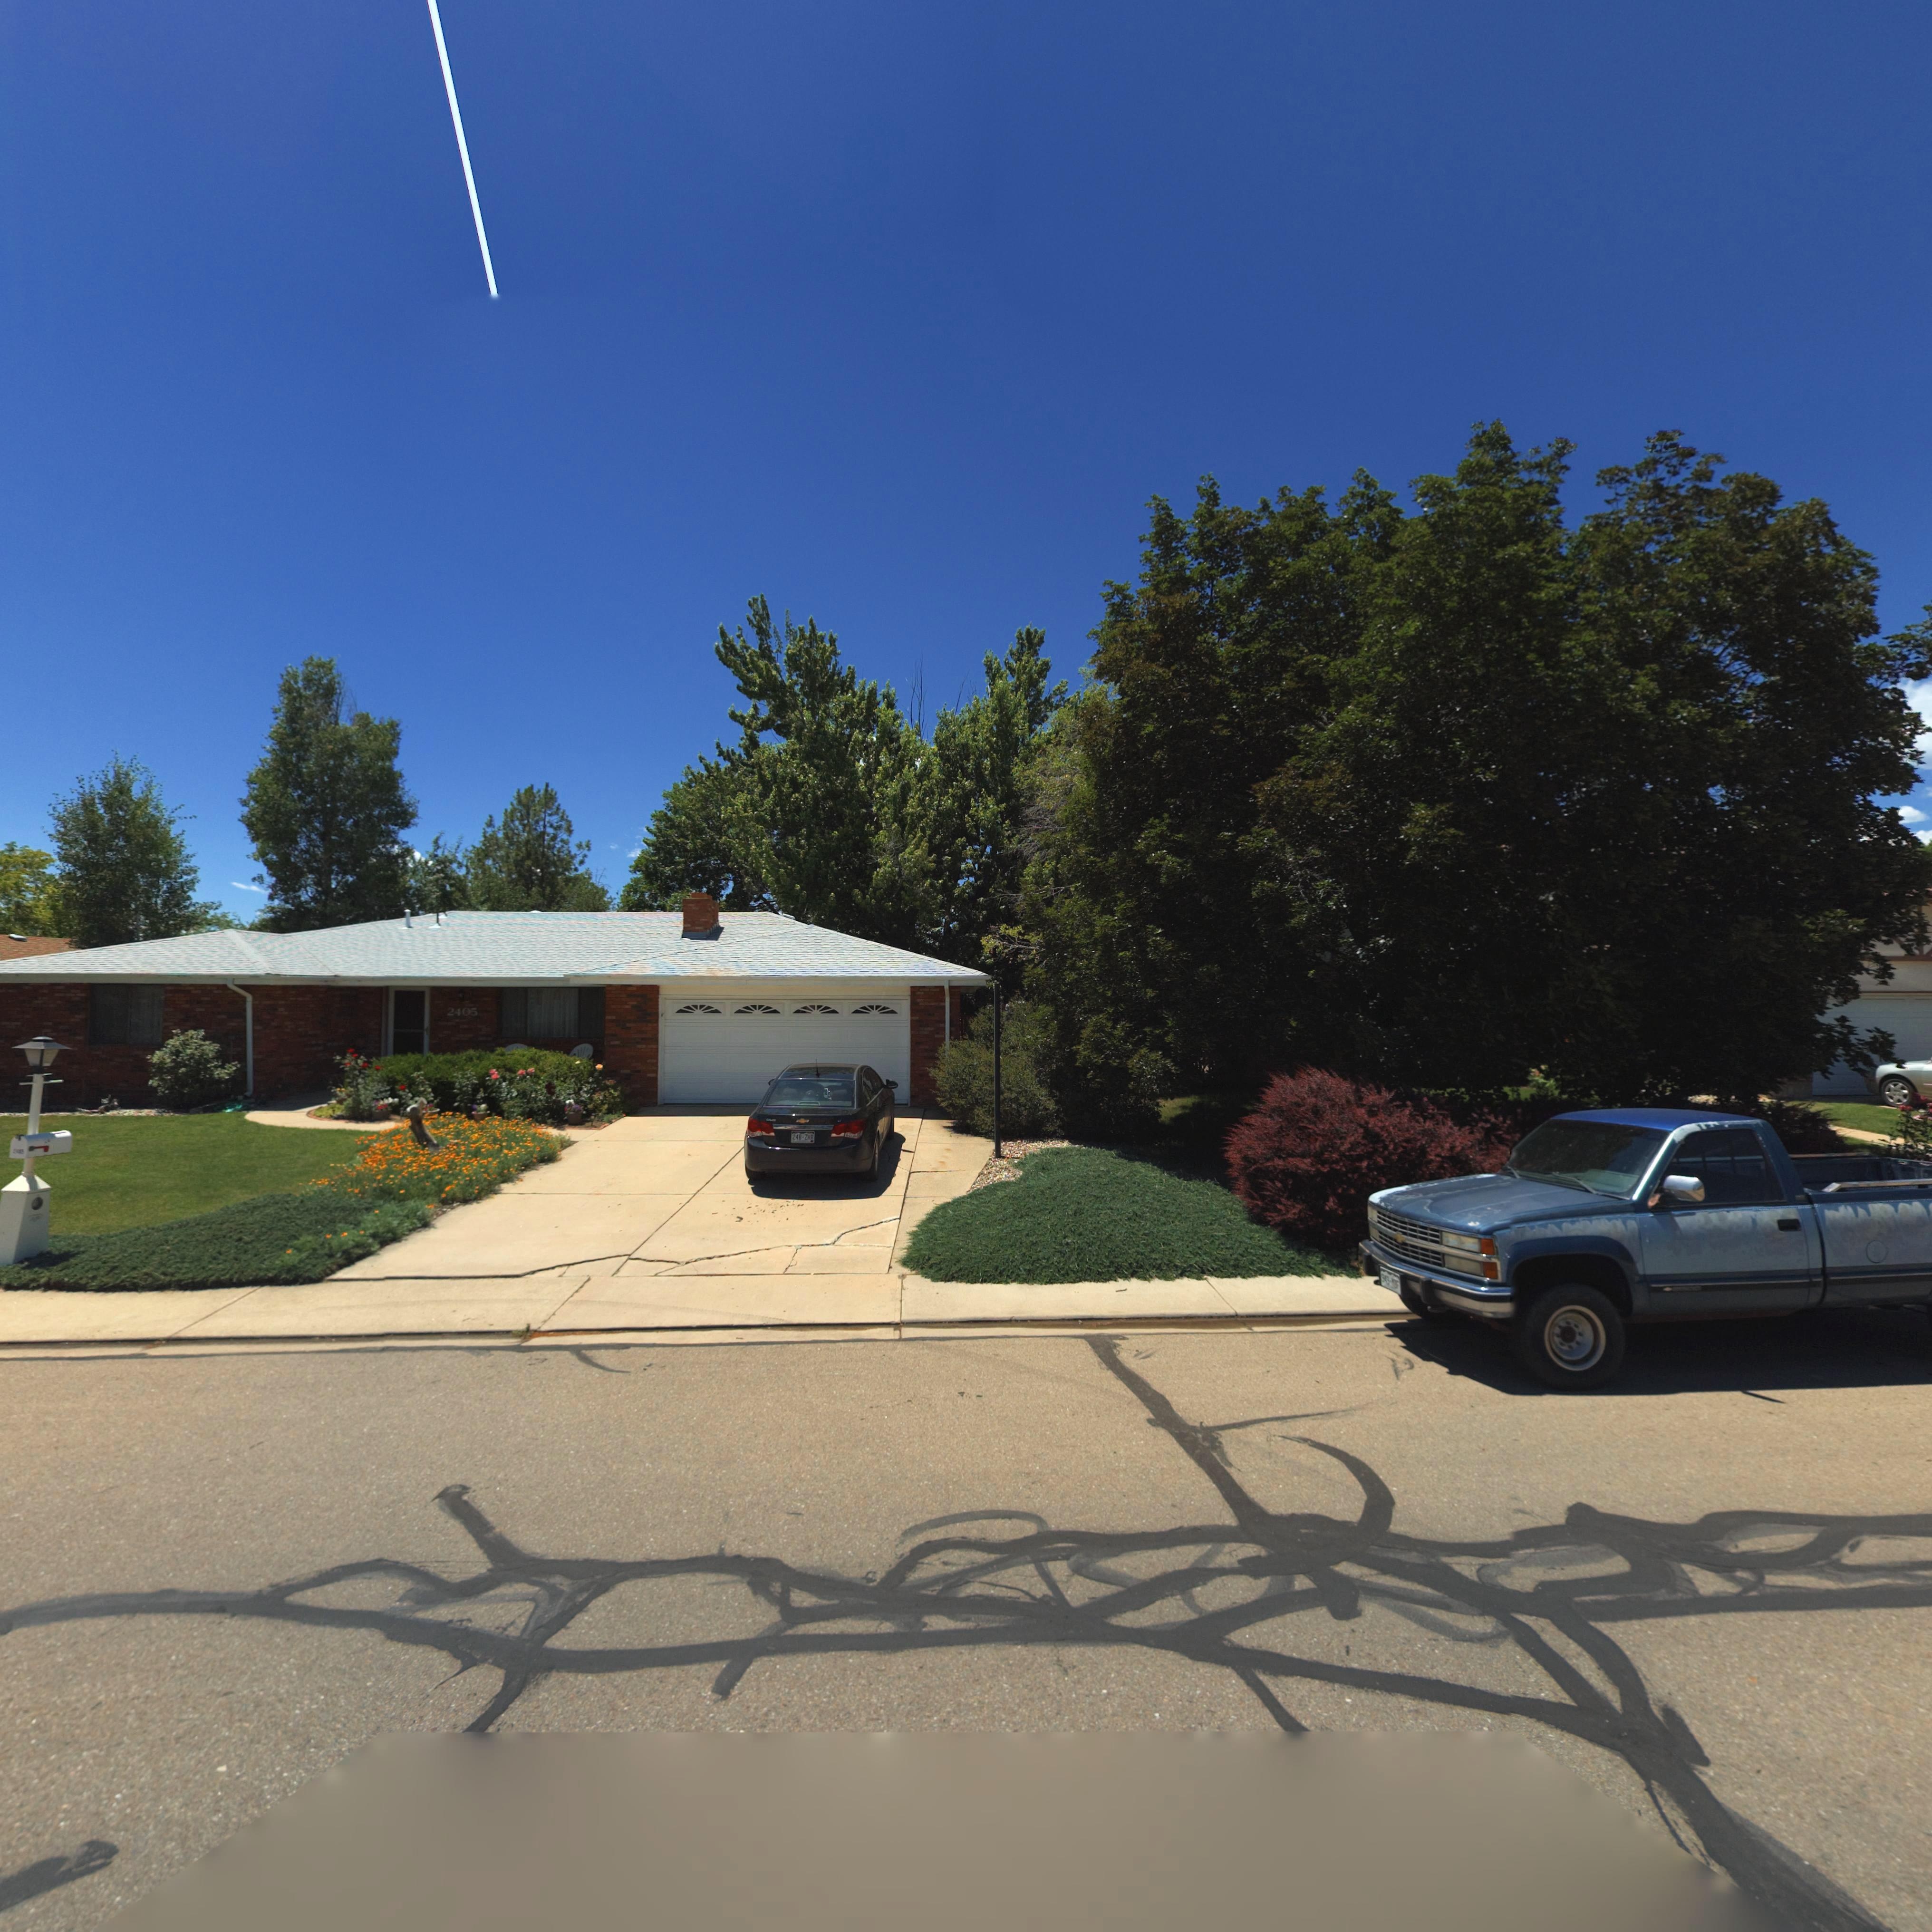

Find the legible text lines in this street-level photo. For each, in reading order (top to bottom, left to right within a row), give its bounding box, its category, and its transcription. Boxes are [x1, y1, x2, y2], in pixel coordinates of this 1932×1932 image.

[447, 1007, 477, 1016] StreetNumber: 2405